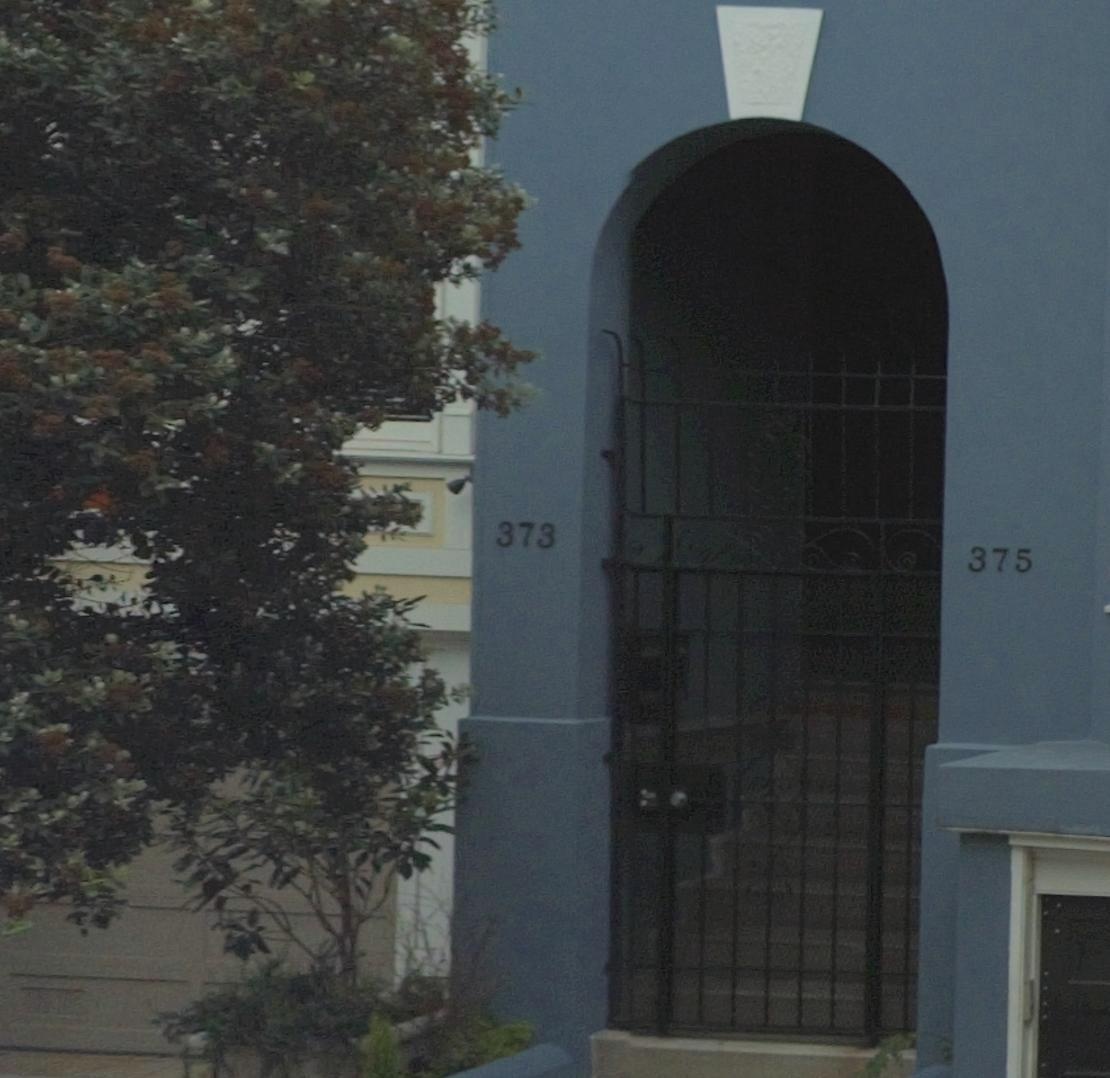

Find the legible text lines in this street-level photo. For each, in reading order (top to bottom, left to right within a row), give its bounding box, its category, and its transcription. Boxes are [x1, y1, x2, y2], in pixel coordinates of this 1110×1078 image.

[492, 520, 557, 549] StreetNumber: 373
[966, 545, 1033, 574] StreetNumber: 375